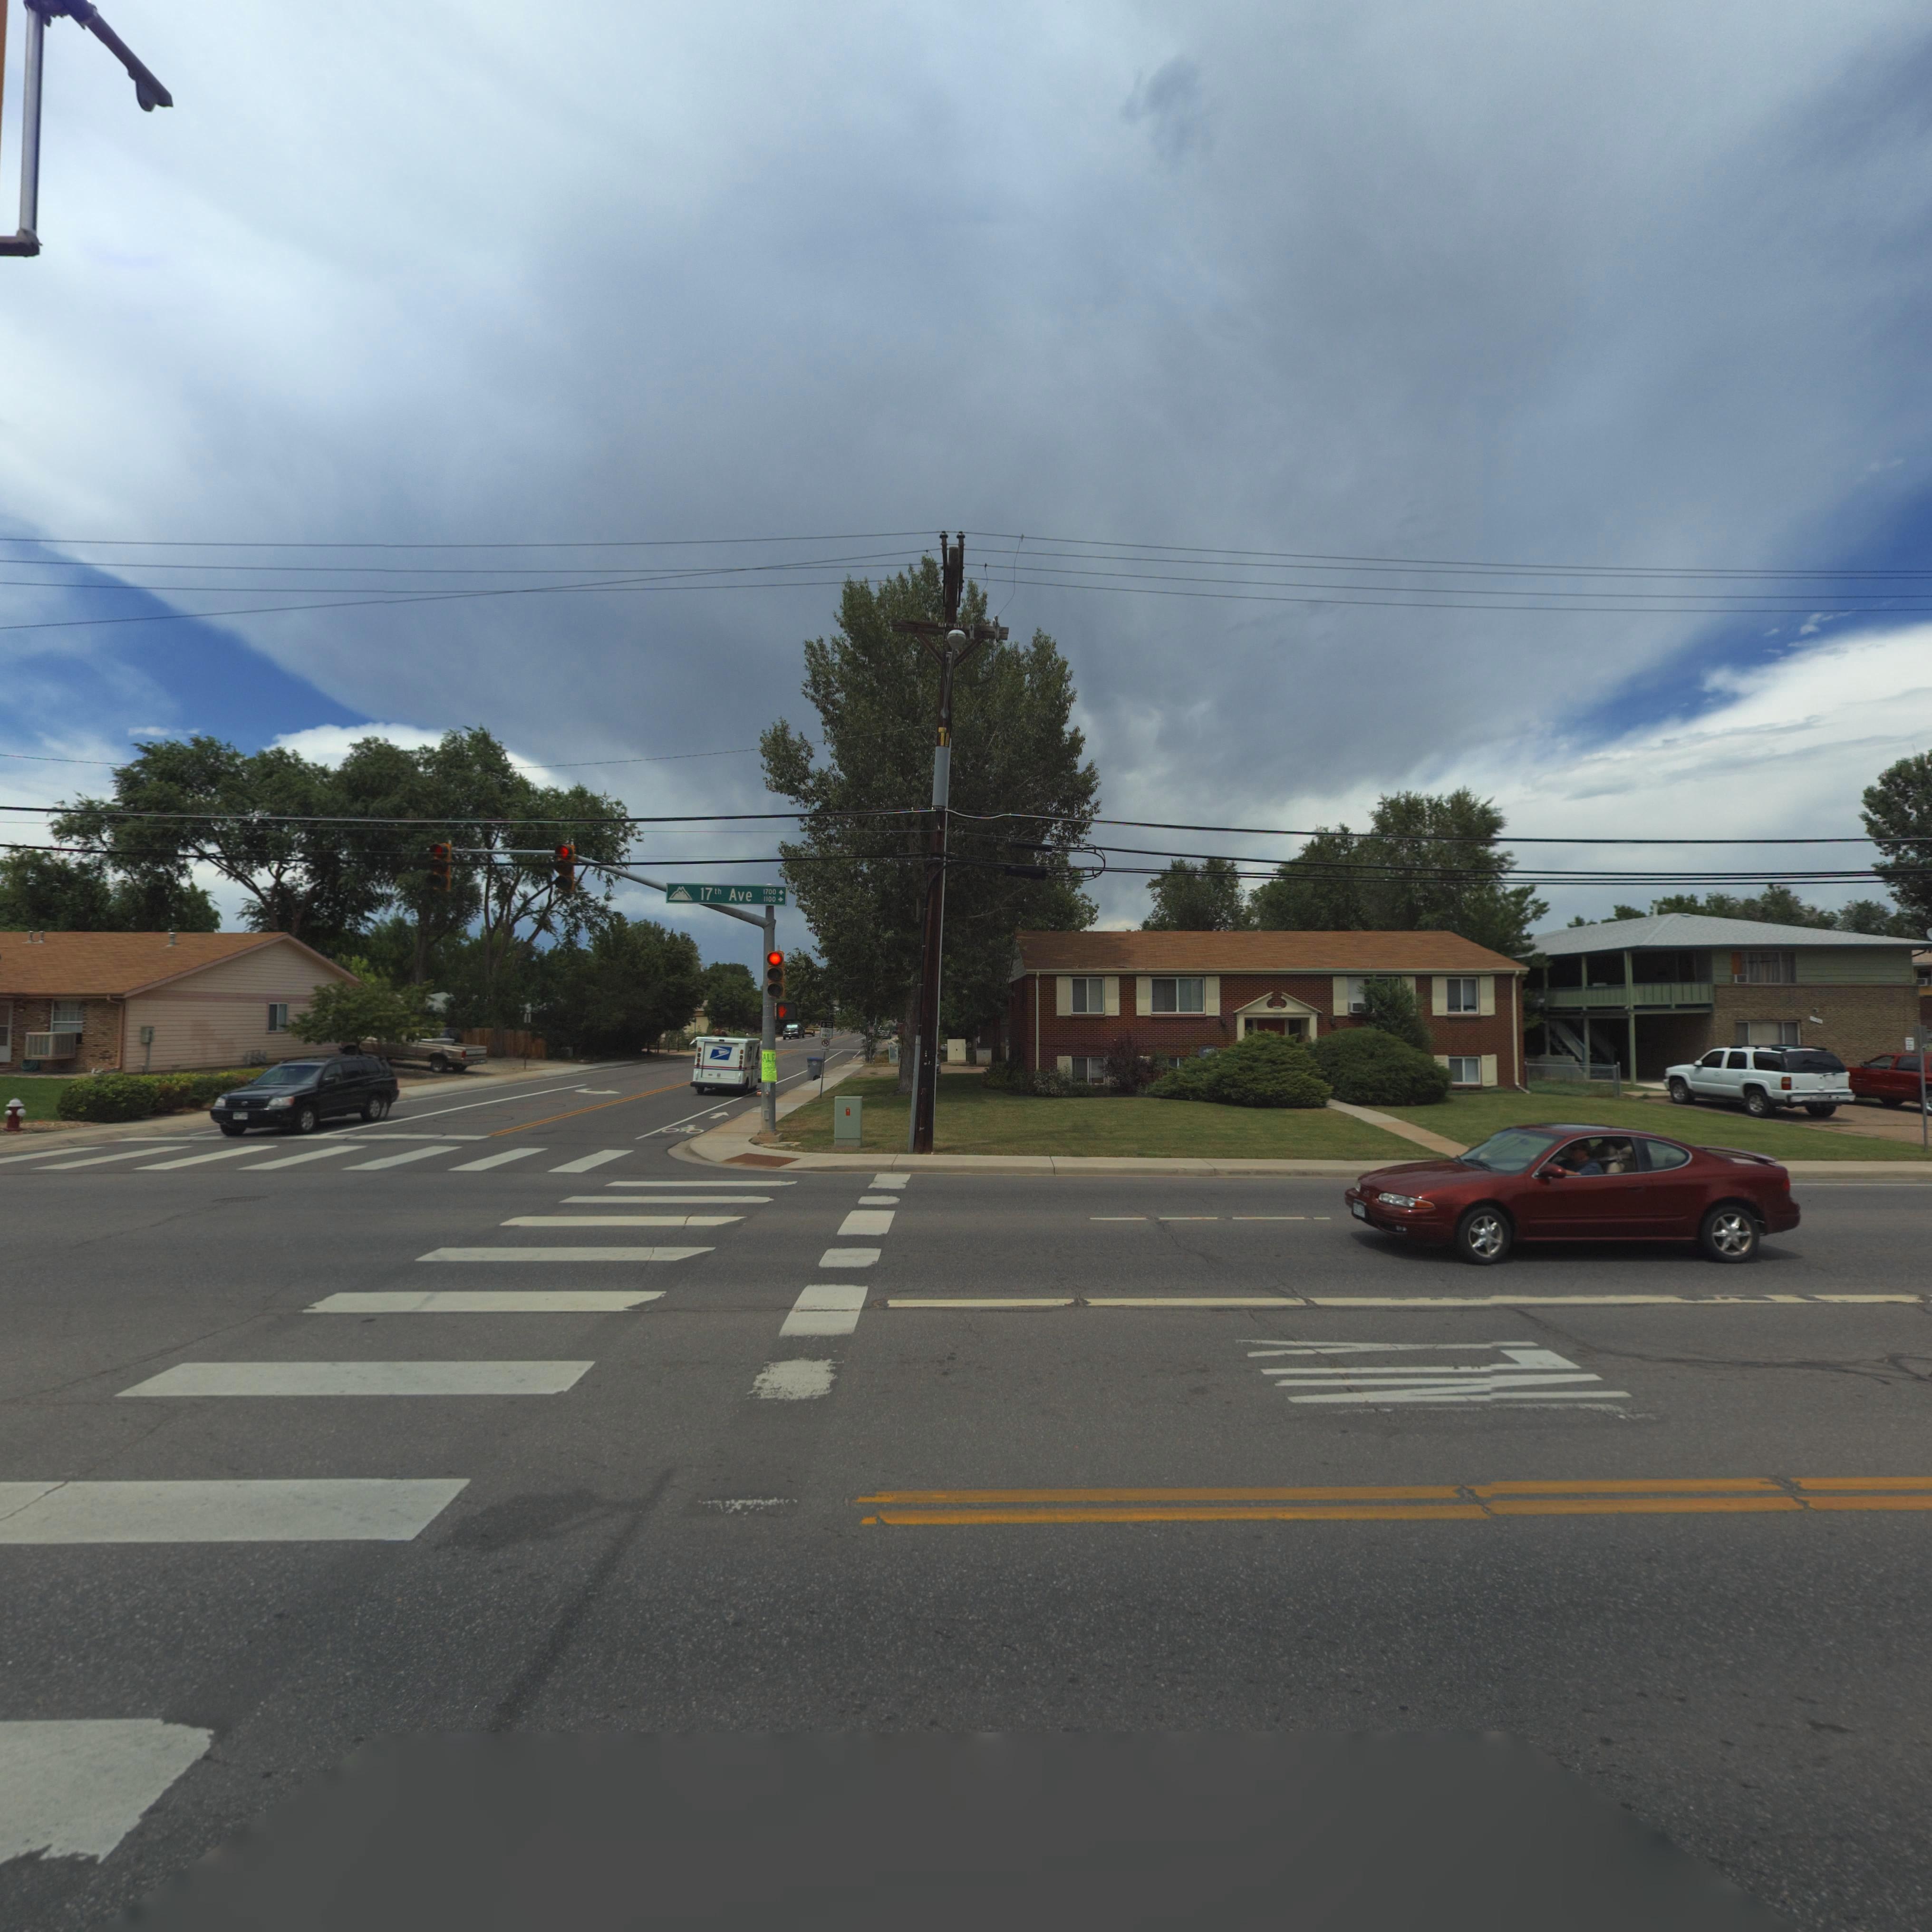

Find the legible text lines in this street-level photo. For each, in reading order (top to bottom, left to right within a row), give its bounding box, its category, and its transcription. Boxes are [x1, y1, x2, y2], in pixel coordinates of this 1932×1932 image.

[700, 886, 753, 902] StreetName: 17th Ave
[763, 888, 776, 895] StreetNumberRange: 1700
[763, 895, 783, 902] StreetNumberRange: 1100->